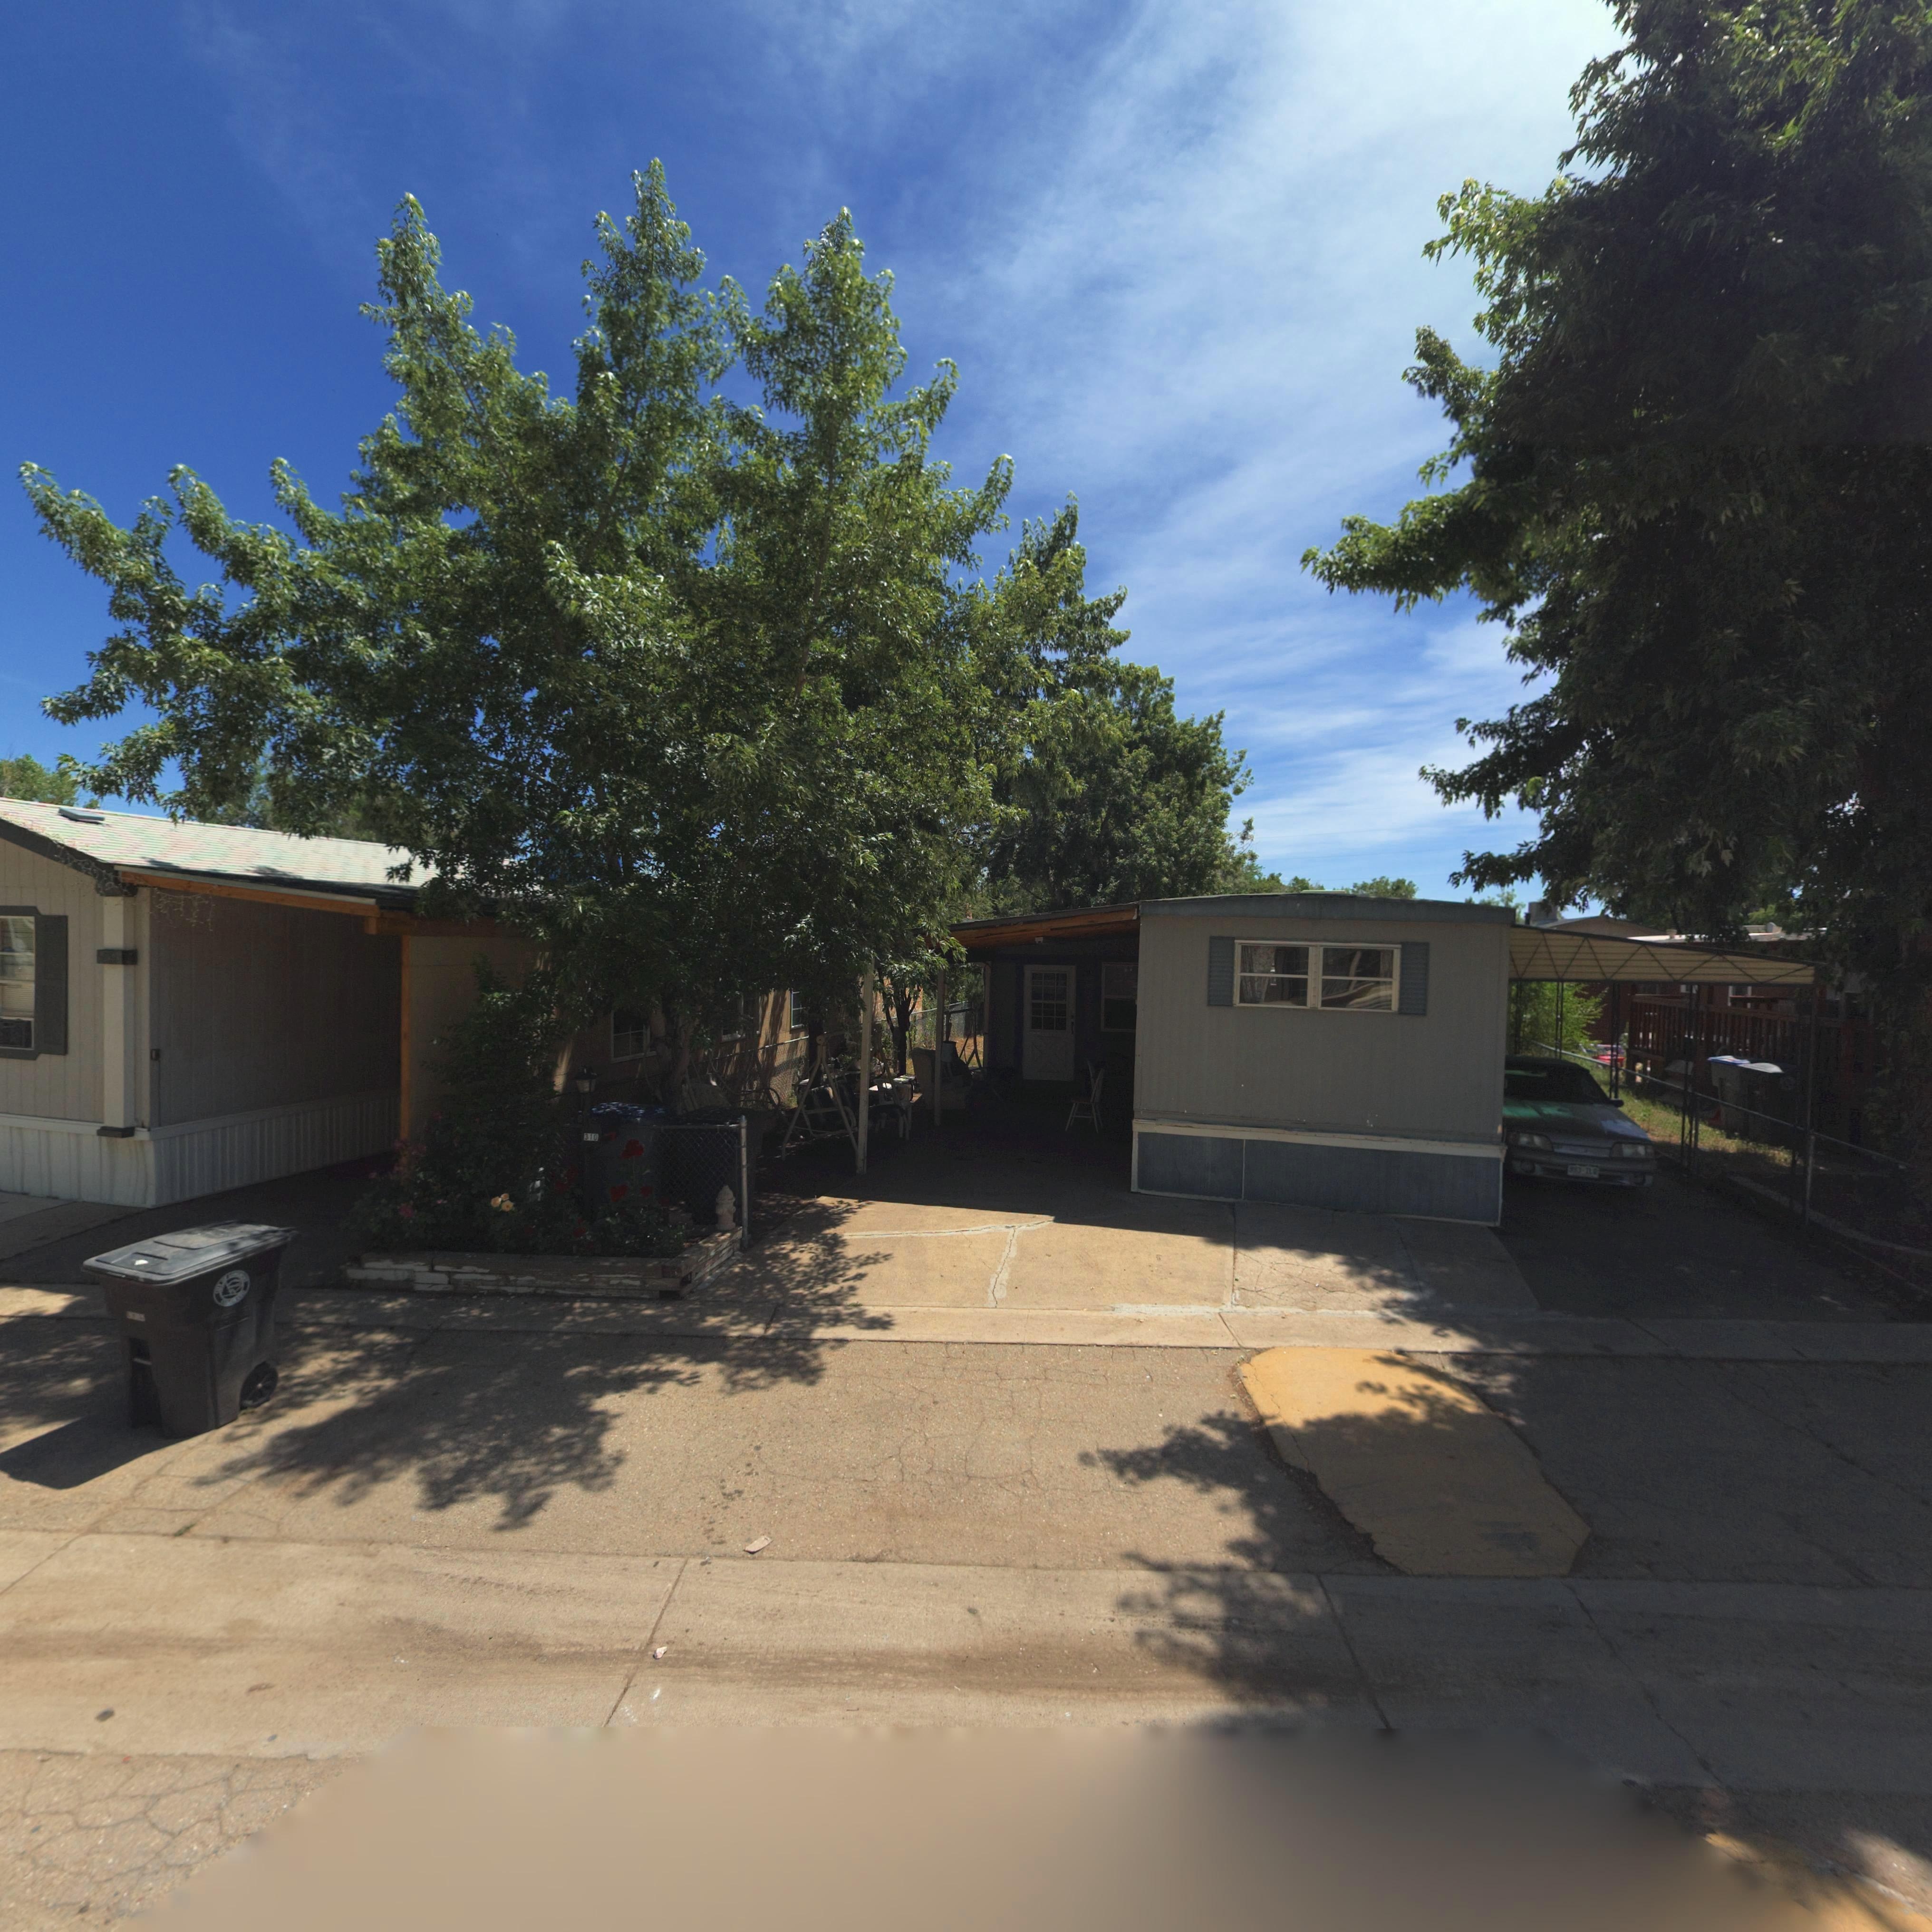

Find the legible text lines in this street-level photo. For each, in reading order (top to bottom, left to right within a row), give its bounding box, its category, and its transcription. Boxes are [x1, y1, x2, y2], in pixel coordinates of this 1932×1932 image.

[584, 1133, 598, 1140] StreetNumber: 310